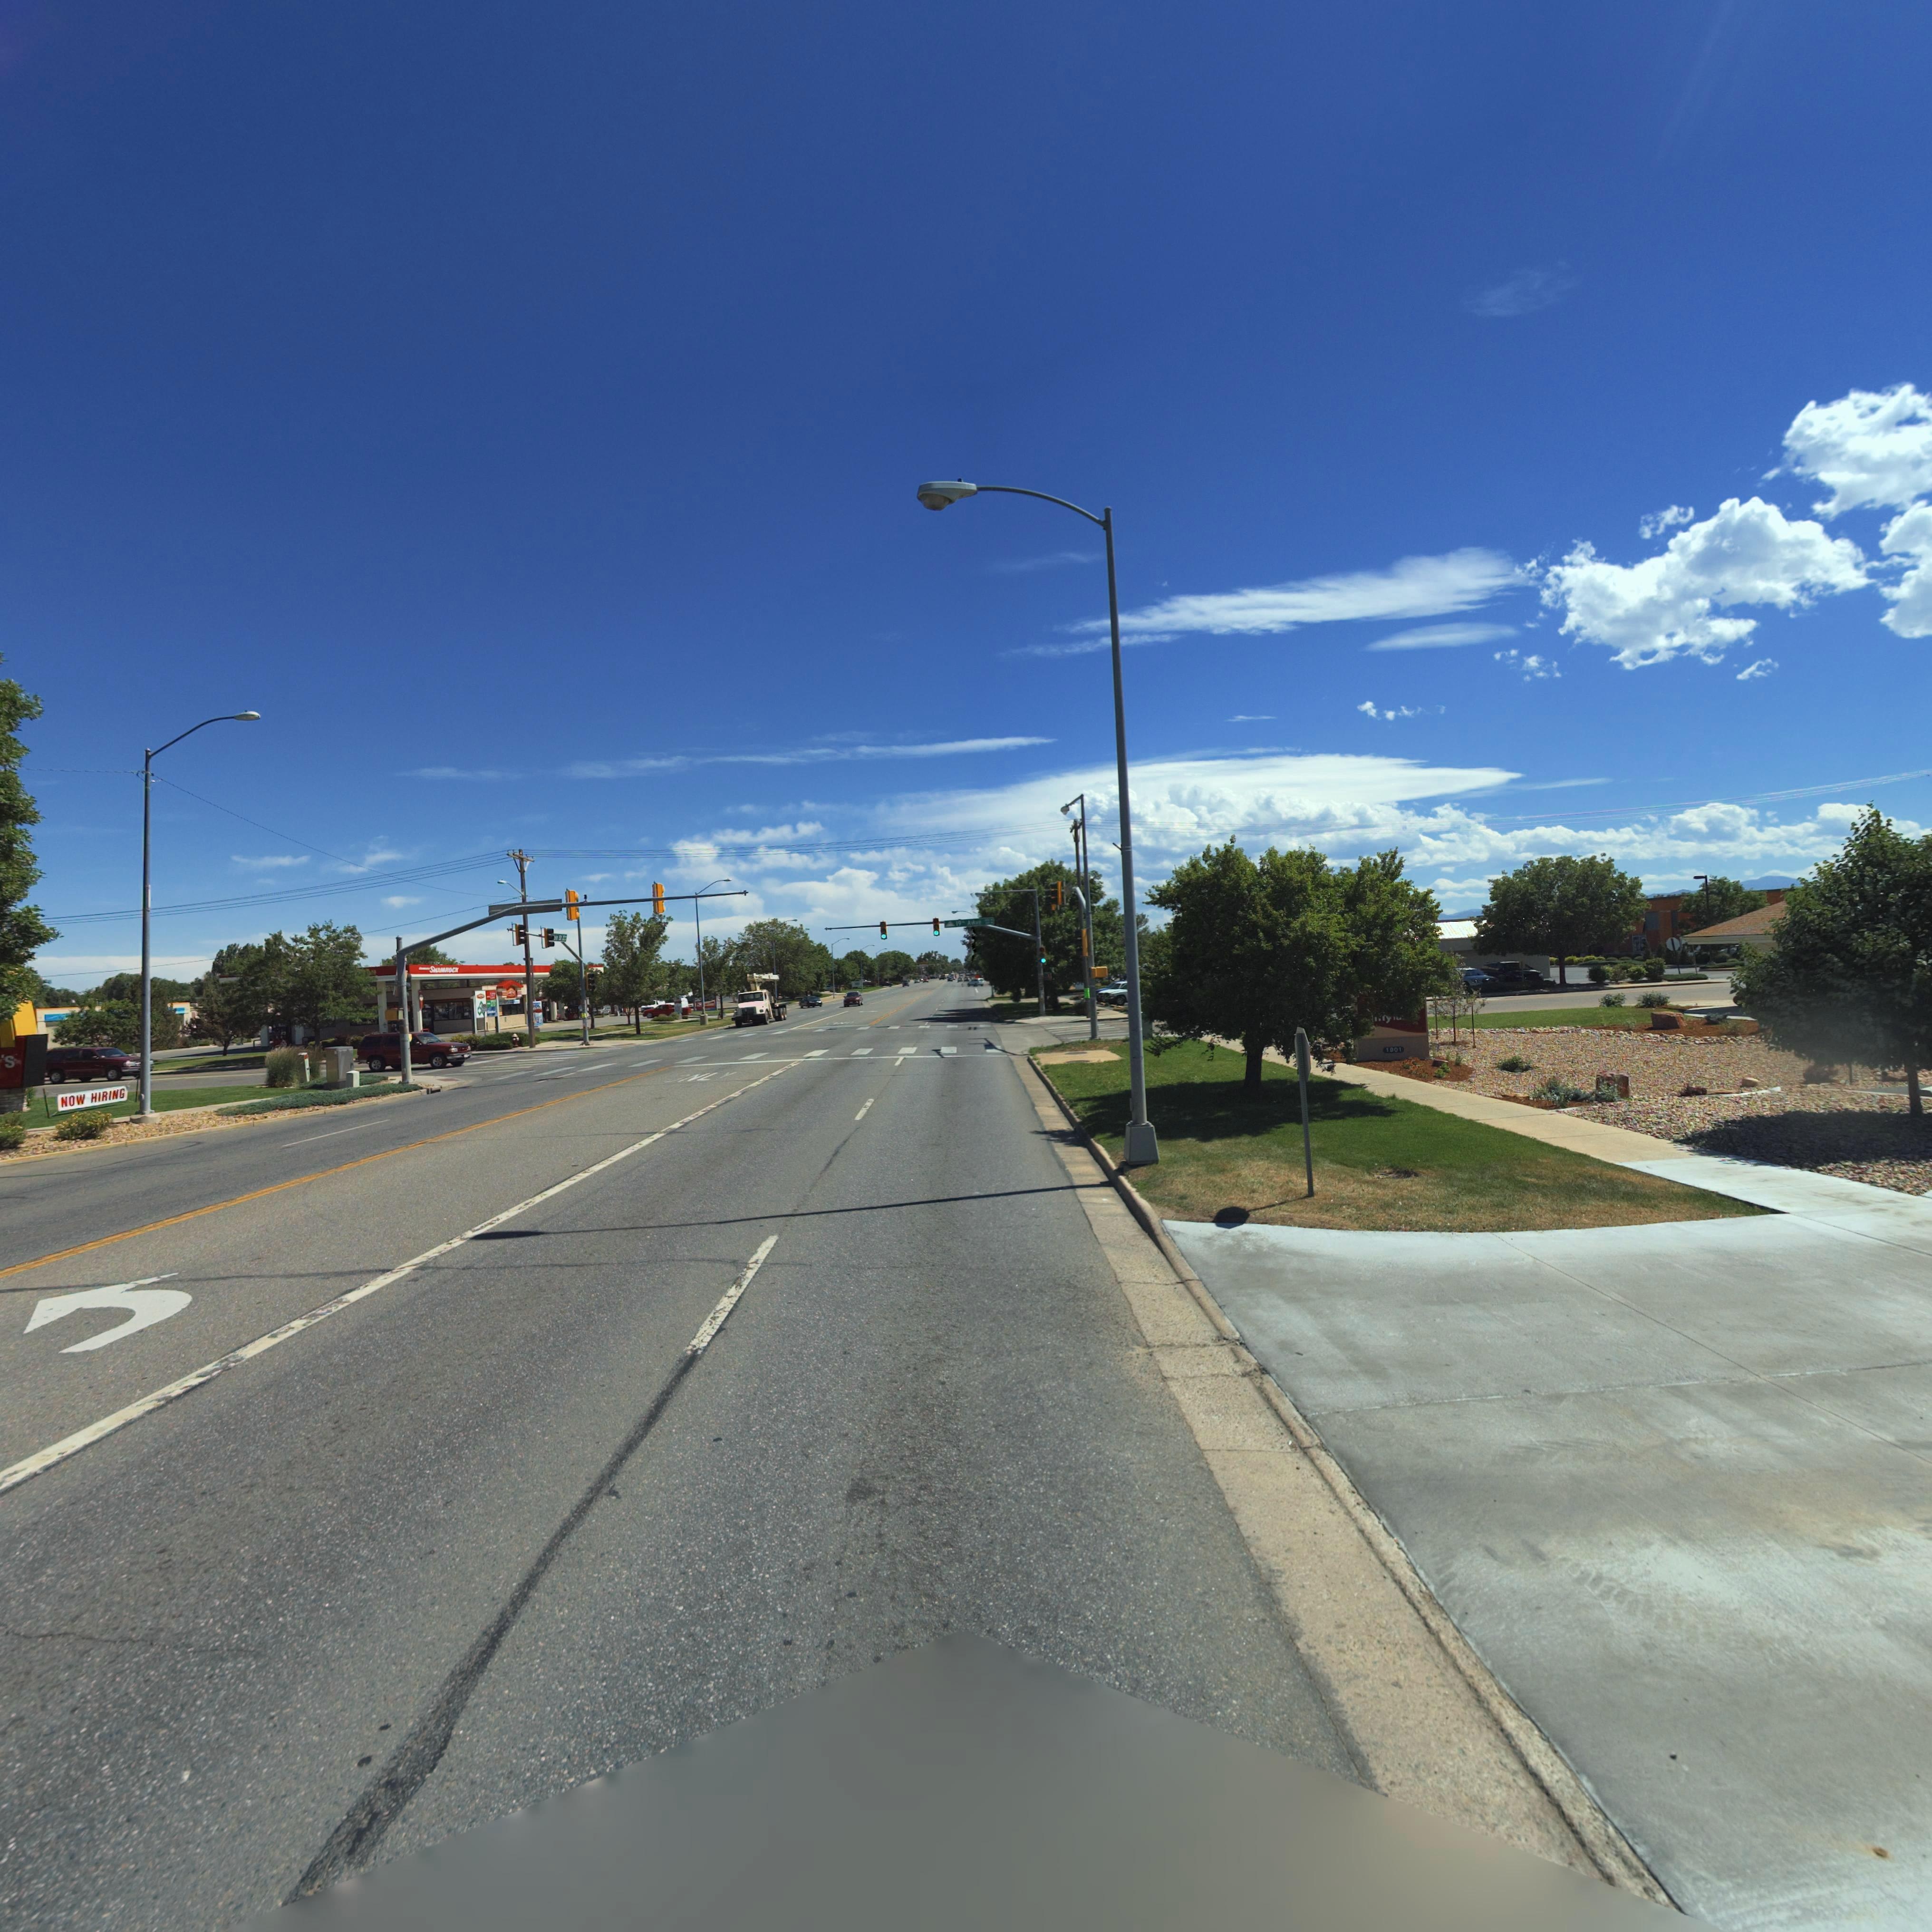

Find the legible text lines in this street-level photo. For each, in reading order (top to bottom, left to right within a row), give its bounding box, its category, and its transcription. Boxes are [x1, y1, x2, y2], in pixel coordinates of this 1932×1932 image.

[956, 920, 981, 926] StreetName: 19th Av*
[553, 935, 562, 940] StreetName: ***St
[429, 965, 458, 973] BusinessName: SHAMROC*
[1386, 1047, 1401, 1053] StreetNumber: 1*01
[1, 1054, 15, 1068] None: 's